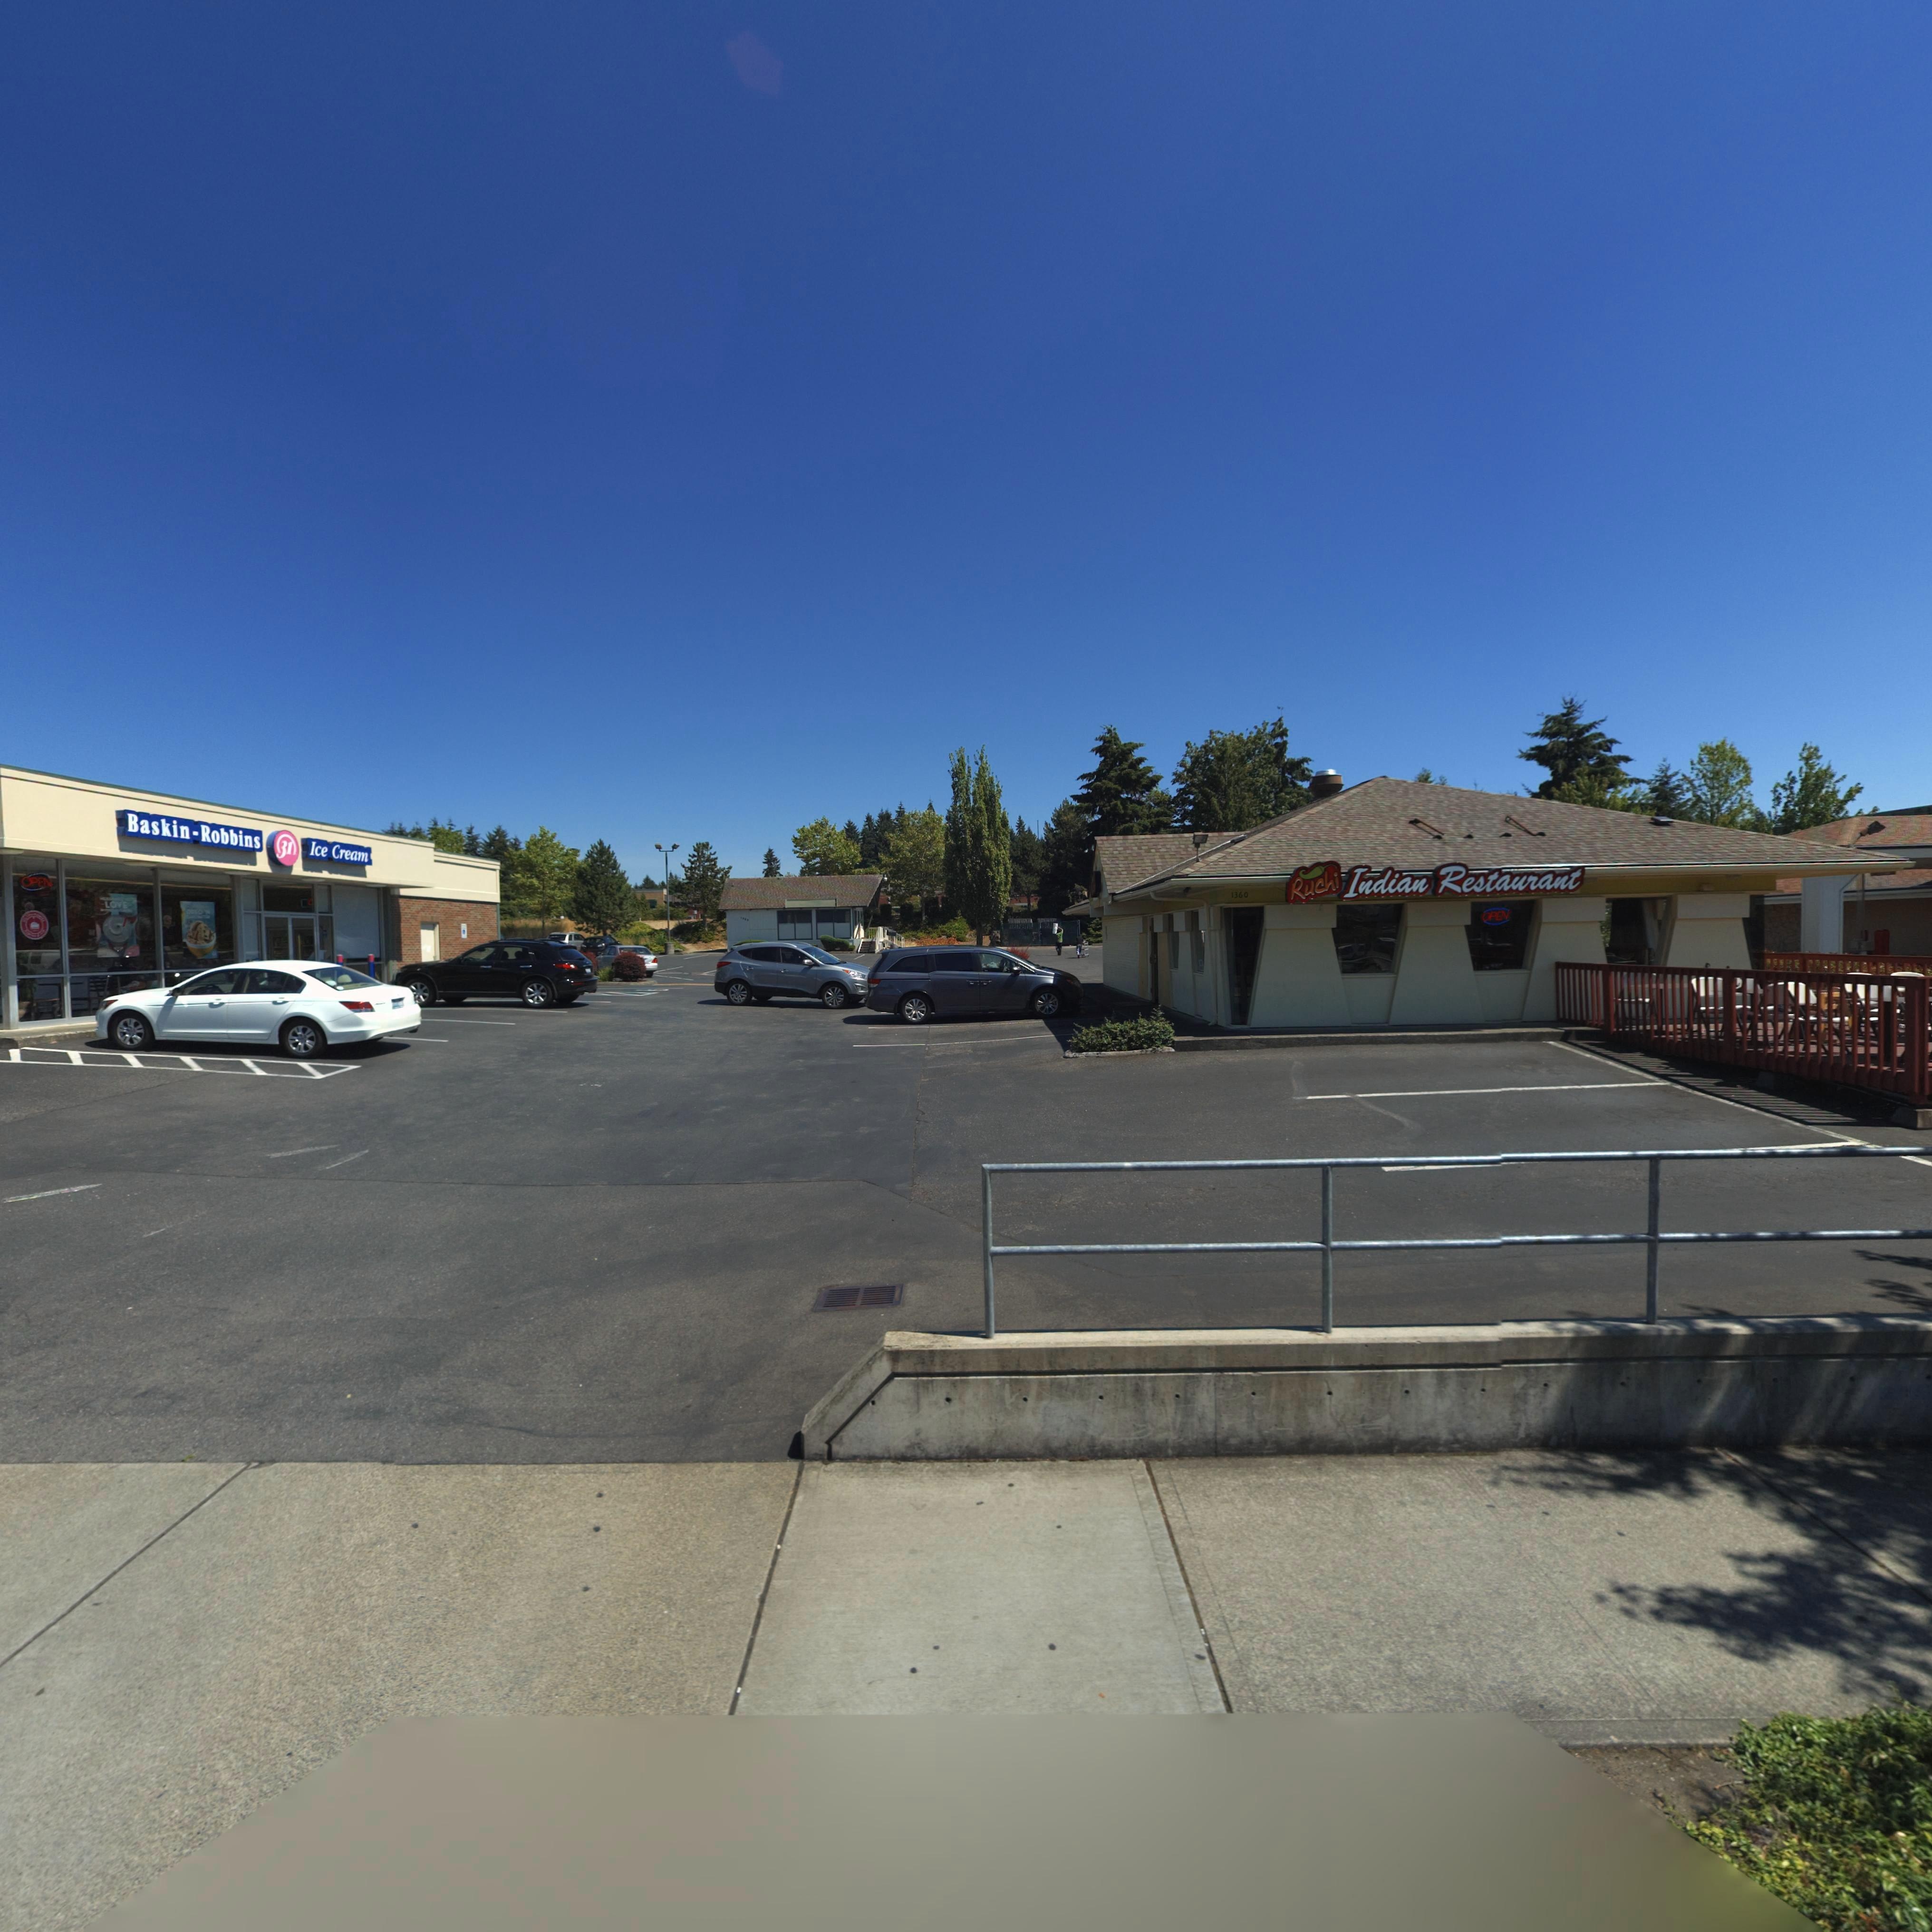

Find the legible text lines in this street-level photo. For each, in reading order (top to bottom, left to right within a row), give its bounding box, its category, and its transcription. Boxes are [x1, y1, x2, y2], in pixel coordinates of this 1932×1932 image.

[126, 811, 300, 860] BusinessName: Baskin * Robbins
[308, 840, 370, 862] BusinessName: Ice Cream
[1289, 869, 1340, 901] BusinessName: Ruchi
[1343, 866, 1430, 899] BusinessName: Indian
[1436, 864, 1584, 895] BusinessName: Restaurant